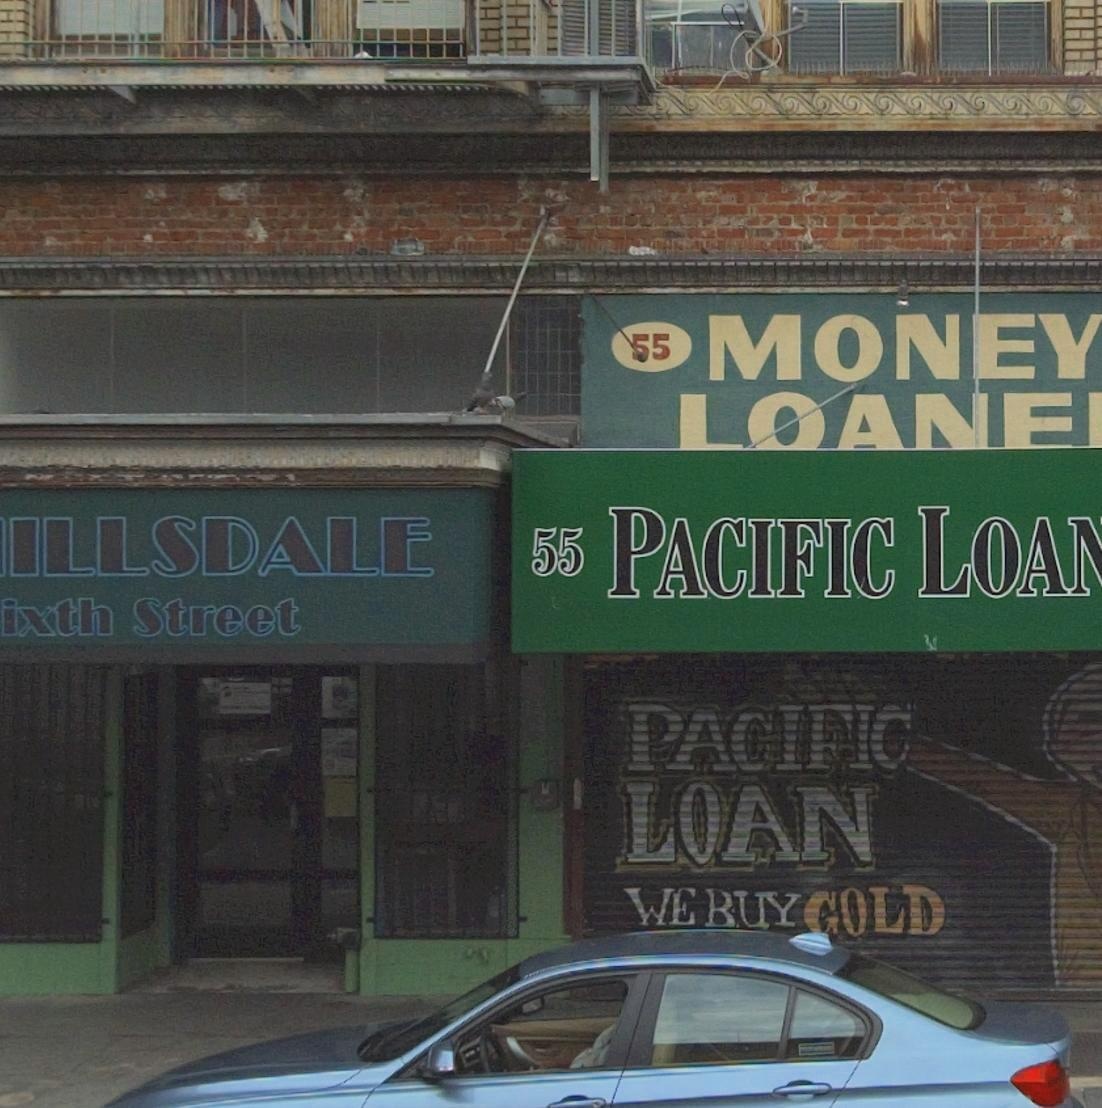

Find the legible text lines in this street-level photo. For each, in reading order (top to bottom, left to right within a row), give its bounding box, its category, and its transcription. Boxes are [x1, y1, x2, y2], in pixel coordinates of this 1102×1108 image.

[650, 330, 674, 363] StreetNumber: 5
[704, 309, 1101, 386] None: MONEY
[10, 516, 434, 579] BusinessName: ILLSDALE
[532, 527, 584, 578] StreetNumber: 55
[607, 501, 1074, 600] BusinessName: PACIFIC LOA
[2, 595, 302, 638] StreetName: ixth Street
[624, 698, 914, 776] BusinessName: PACIFIC
[621, 780, 877, 866] BusinessName: LOAN
[618, 880, 949, 939] None: WE BUY GOLD